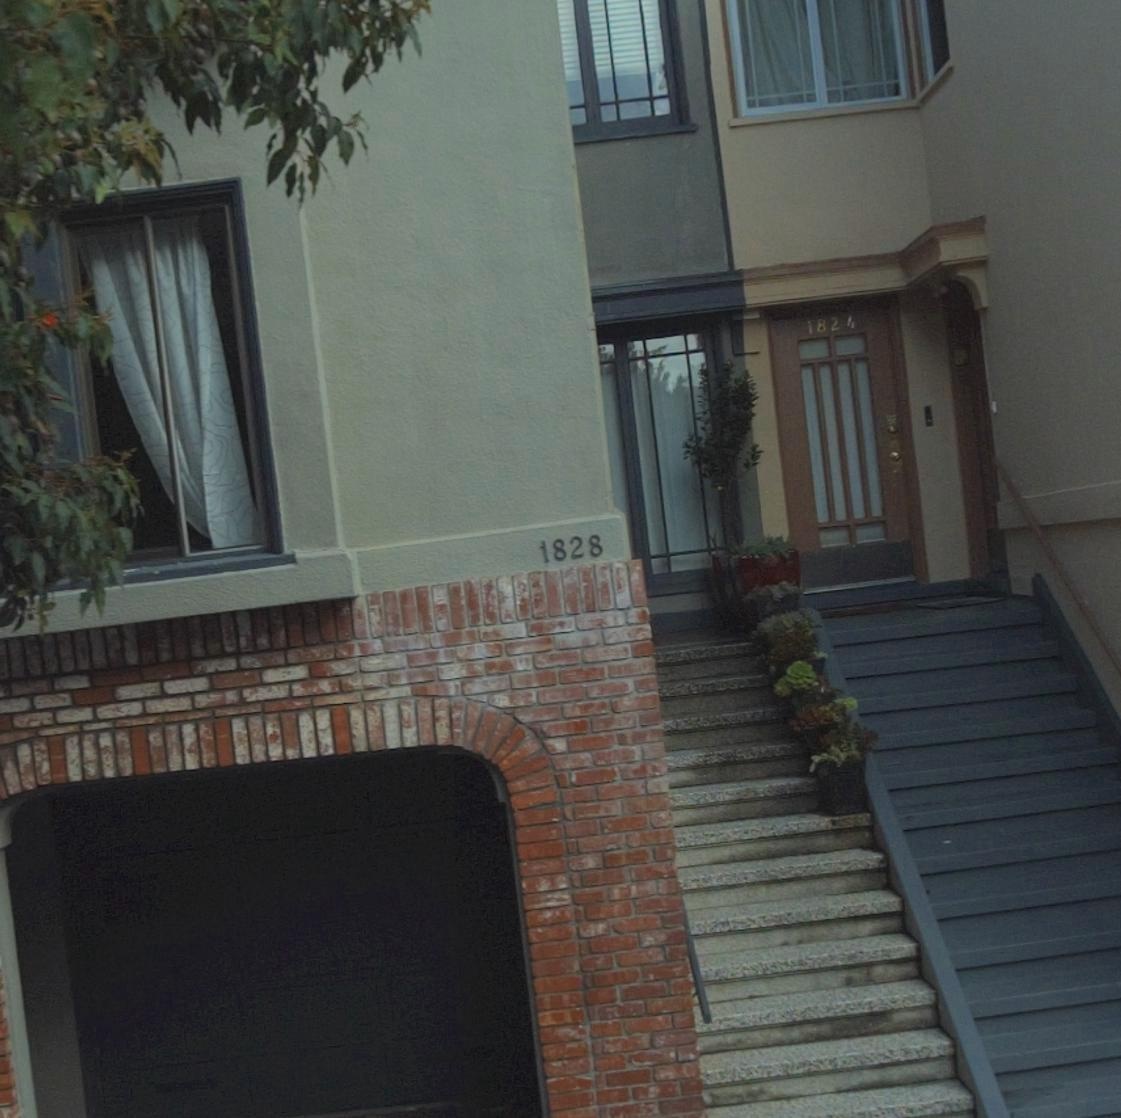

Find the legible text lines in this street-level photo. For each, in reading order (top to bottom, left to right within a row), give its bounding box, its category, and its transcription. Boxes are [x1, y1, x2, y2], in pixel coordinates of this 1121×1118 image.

[535, 531, 606, 568] StreetNumber: 1828